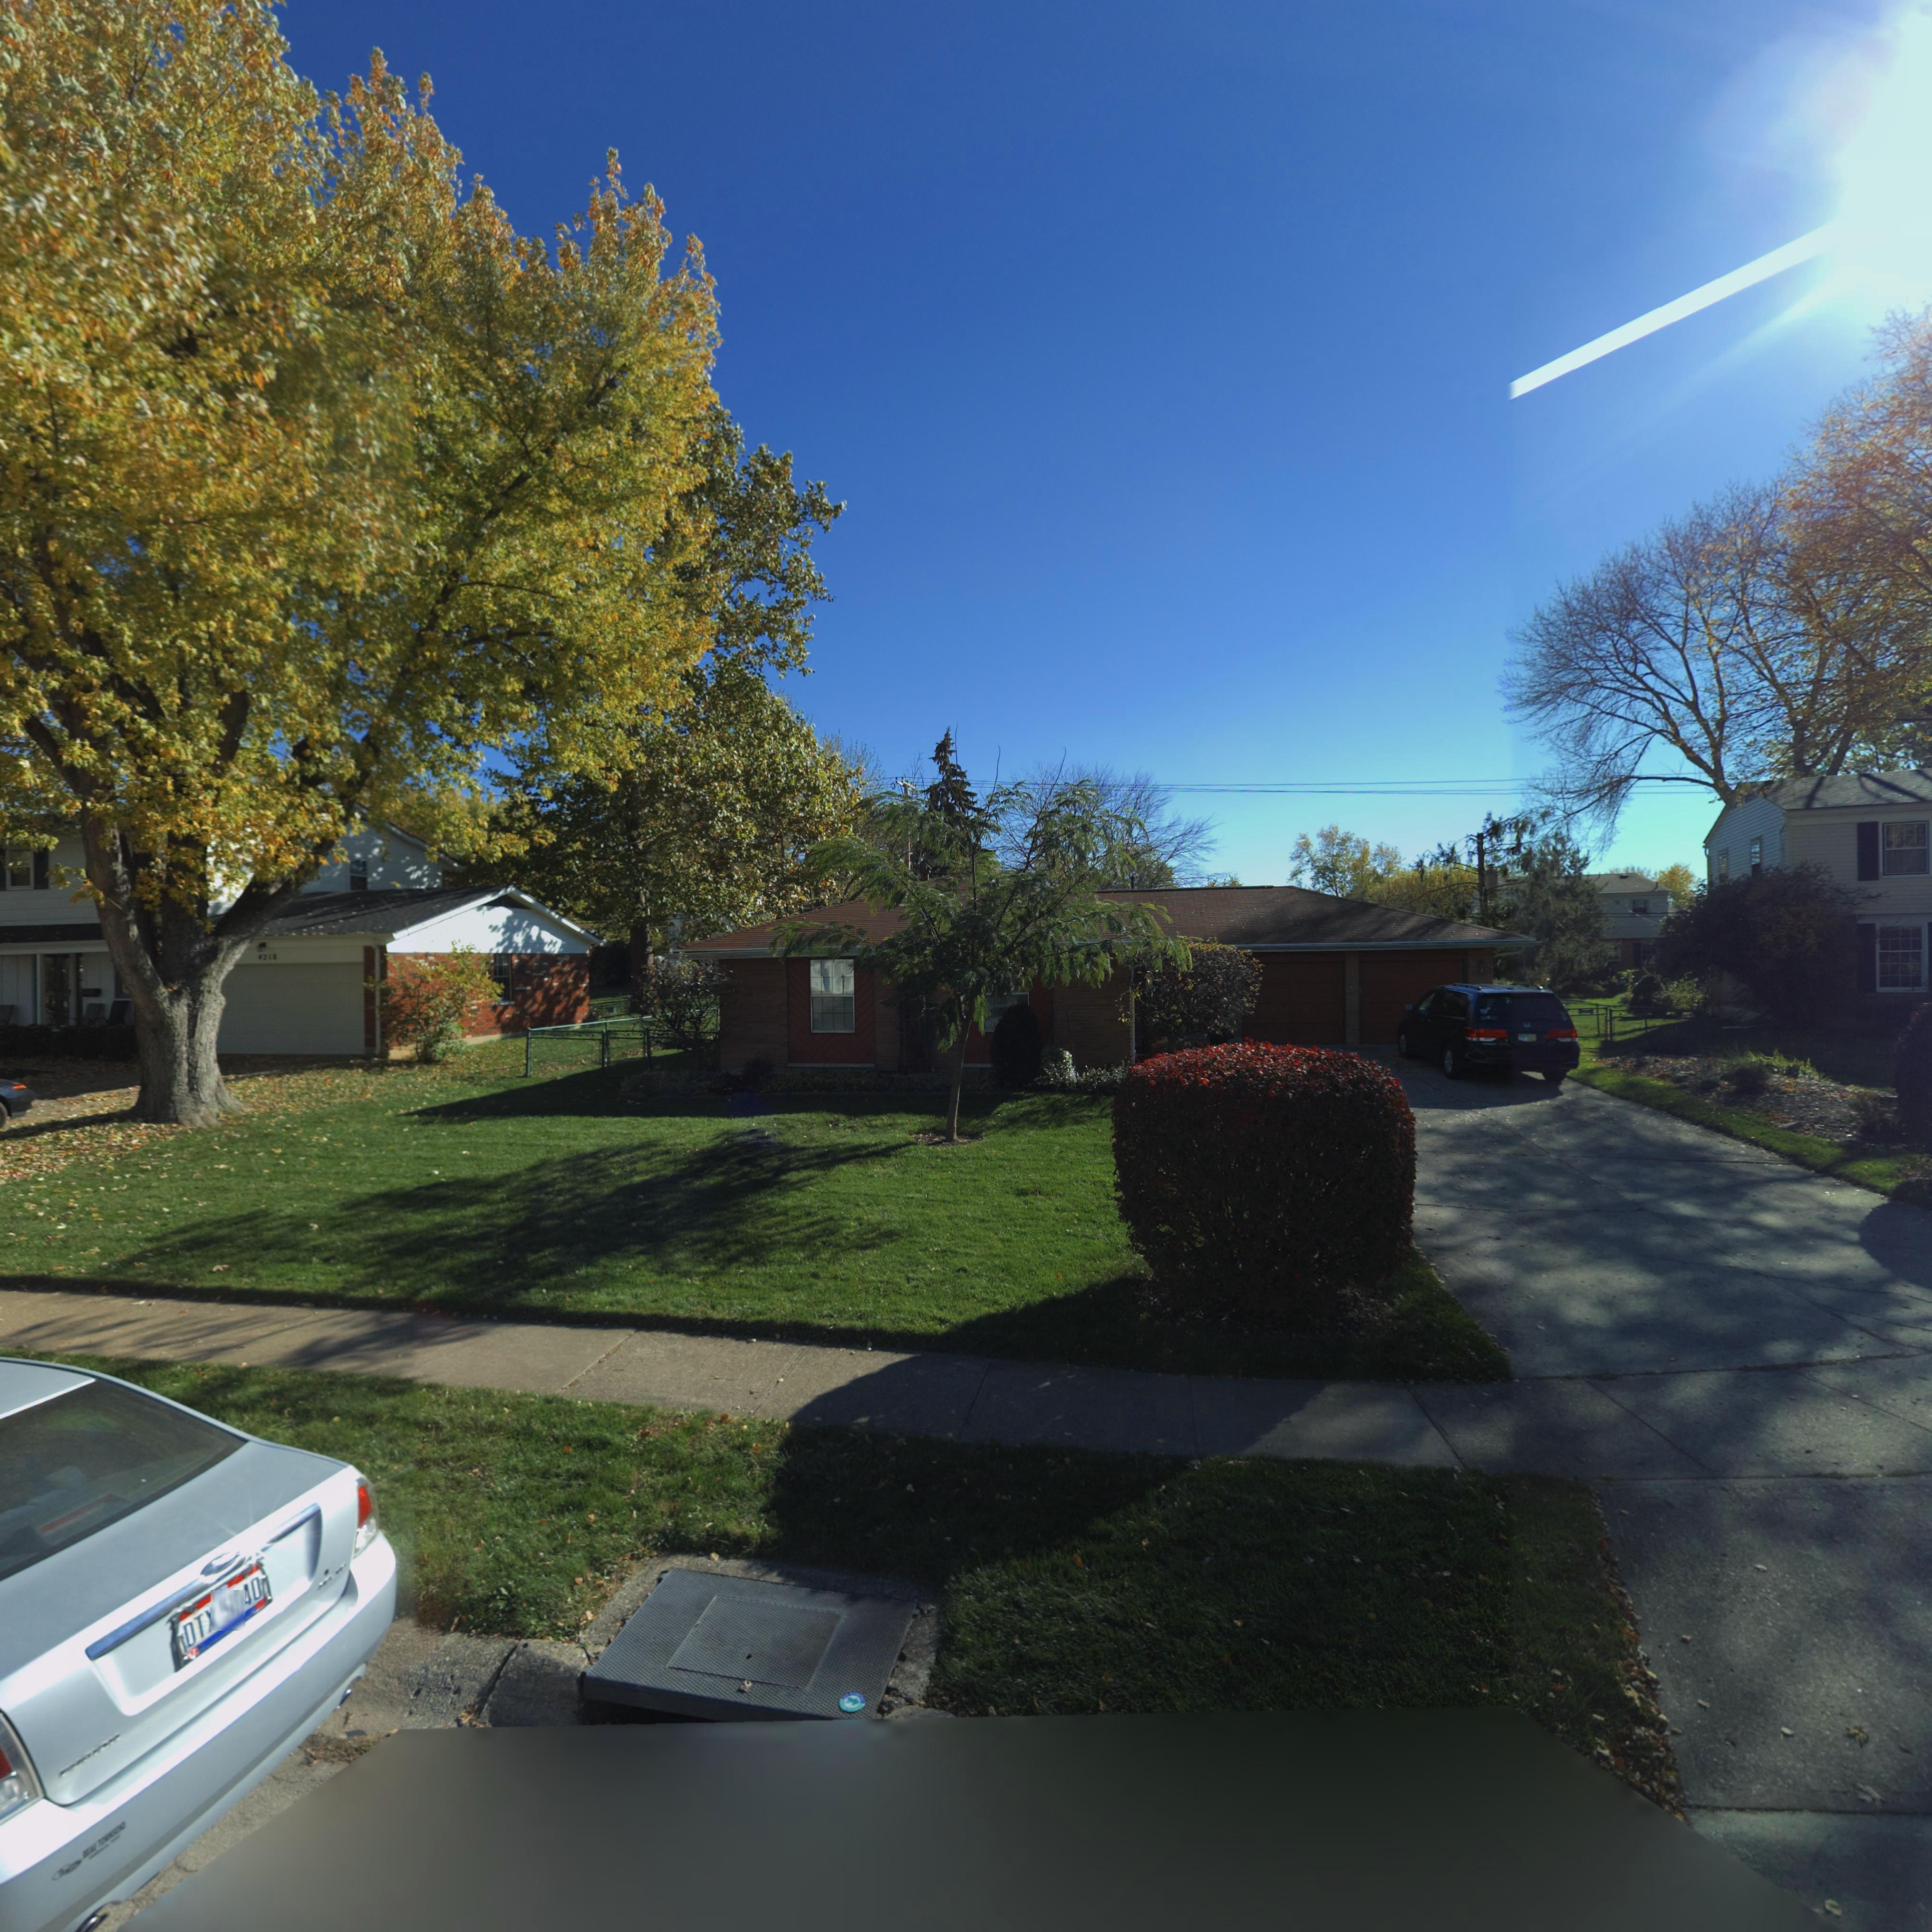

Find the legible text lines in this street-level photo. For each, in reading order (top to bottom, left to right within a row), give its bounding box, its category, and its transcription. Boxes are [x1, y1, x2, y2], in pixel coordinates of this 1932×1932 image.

[257, 952, 279, 962] StreetNumber: *21*
[180, 1574, 263, 1650] None: DTX*5040